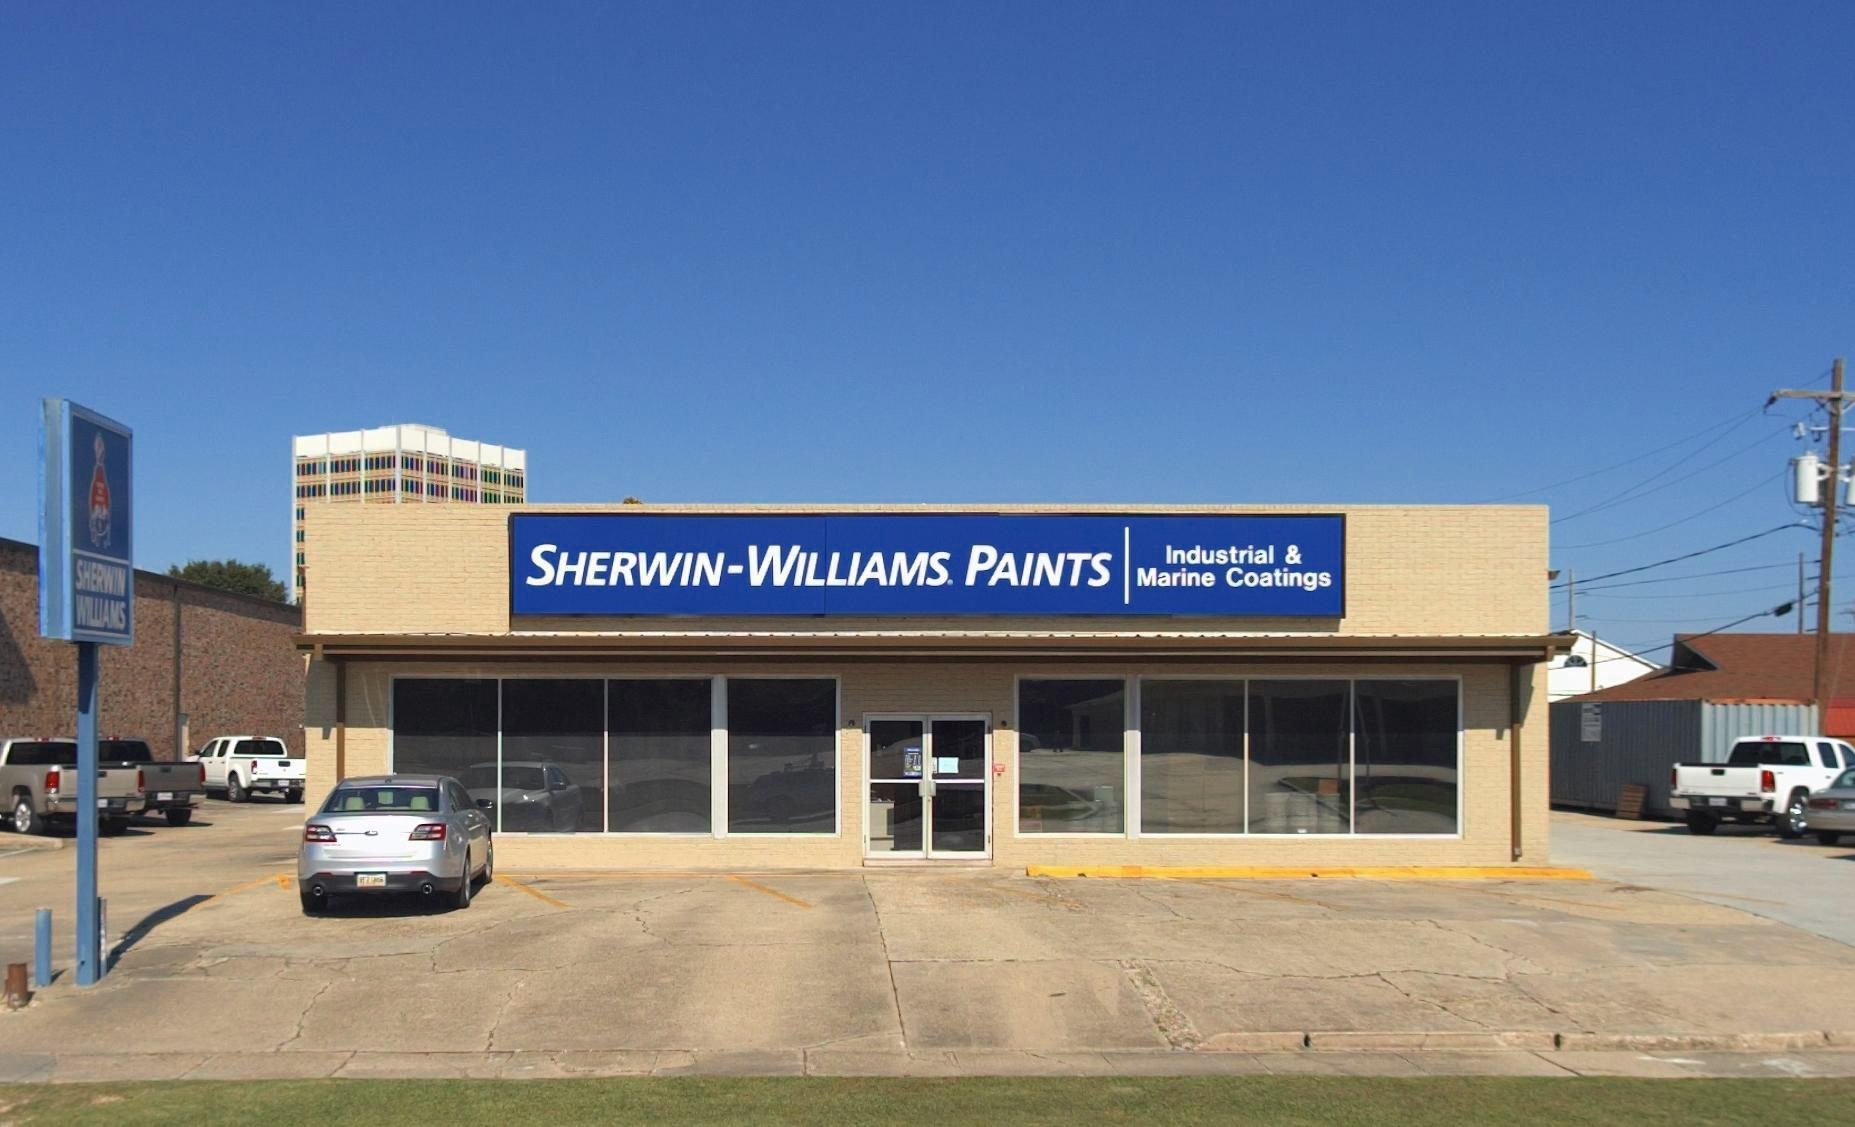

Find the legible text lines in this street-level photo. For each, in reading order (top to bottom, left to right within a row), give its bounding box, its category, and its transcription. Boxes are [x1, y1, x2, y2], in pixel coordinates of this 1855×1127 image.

[73, 555, 128, 599] BusinessName: SHERWIN
[519, 540, 1116, 590] BusinessName: SHERWIN WILLIAMS PAINT
[1163, 540, 1278, 567] None: Industrial
[1134, 564, 1335, 594] None: Marine Coatings
[72, 591, 128, 633] BusinessName: W*LLIAMS